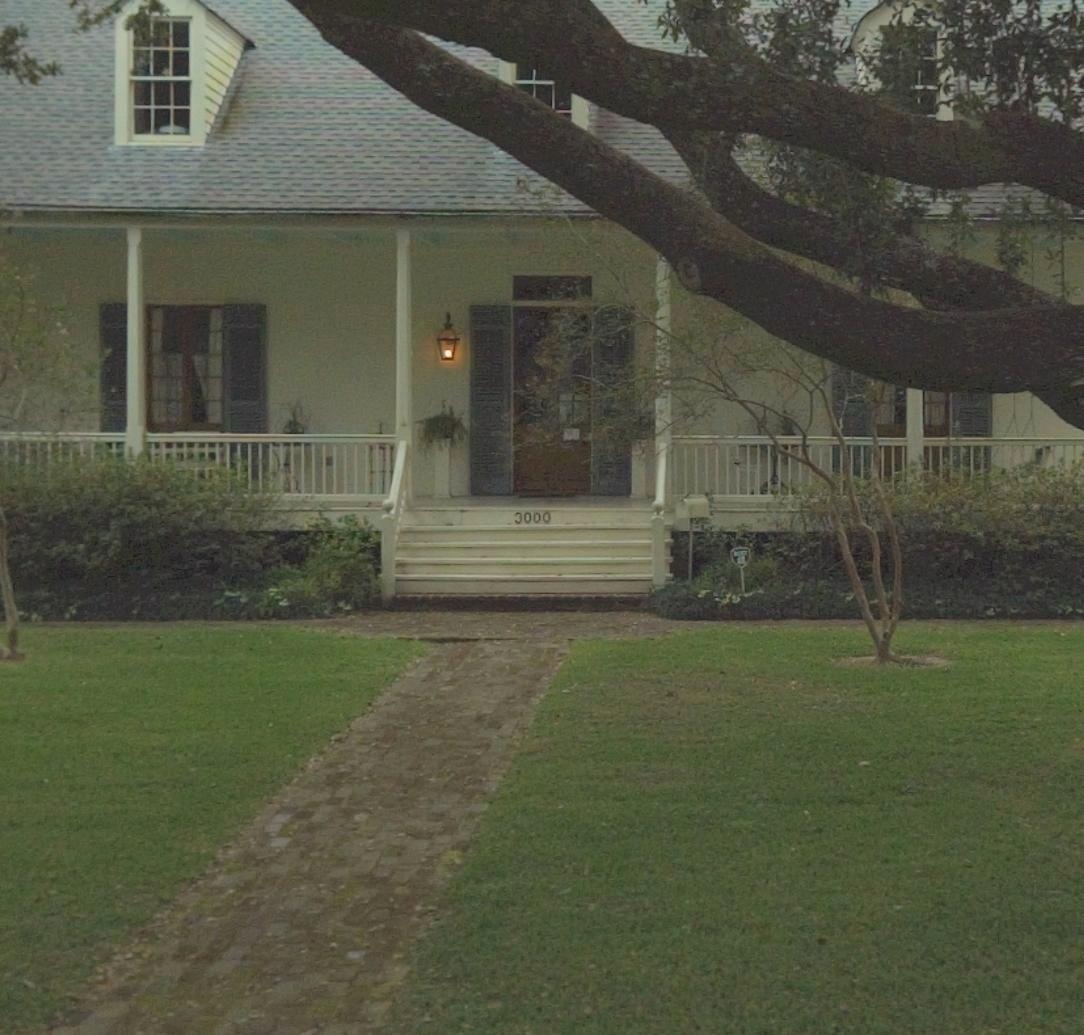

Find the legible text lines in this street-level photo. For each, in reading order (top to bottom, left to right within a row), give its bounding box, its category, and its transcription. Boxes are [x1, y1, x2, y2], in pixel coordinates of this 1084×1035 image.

[514, 511, 552, 526] StreetNumber: 3000